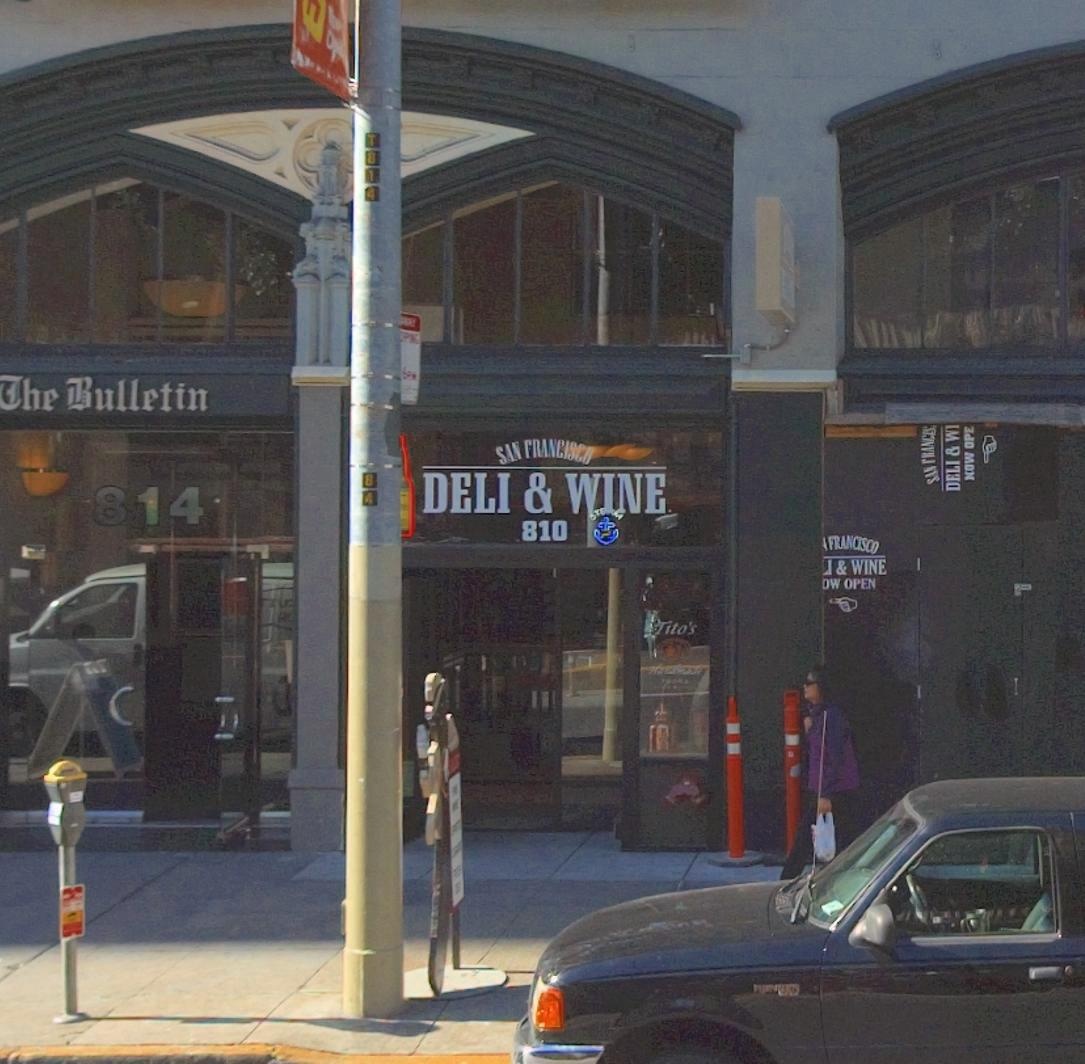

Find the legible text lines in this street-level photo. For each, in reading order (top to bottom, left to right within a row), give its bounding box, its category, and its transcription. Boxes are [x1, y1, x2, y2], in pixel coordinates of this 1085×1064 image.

[365, 133, 379, 201] None: T814
[0, 372, 210, 413] BusinessName: The Bulletin
[493, 437, 596, 466] BusinessName: SAN FRANCISCO
[919, 430, 941, 487] BusinessName: SAN FRANCI
[945, 424, 962, 492] BusinessName: DELI & WI
[963, 425, 976, 481] None: NOW OPE
[89, 484, 207, 528] StreetNumber: 814
[363, 473, 375, 506] None: 84
[420, 470, 667, 516] BusinessName: DELI & WINE
[520, 518, 570, 544] StreetNumber: 810
[826, 534, 882, 556] BusinessName: FRANCISCO
[821, 577, 876, 590] None: OW OPEN
[826, 558, 888, 577] BusinessName: I & WINE
[652, 618, 699, 637] None: Tito's